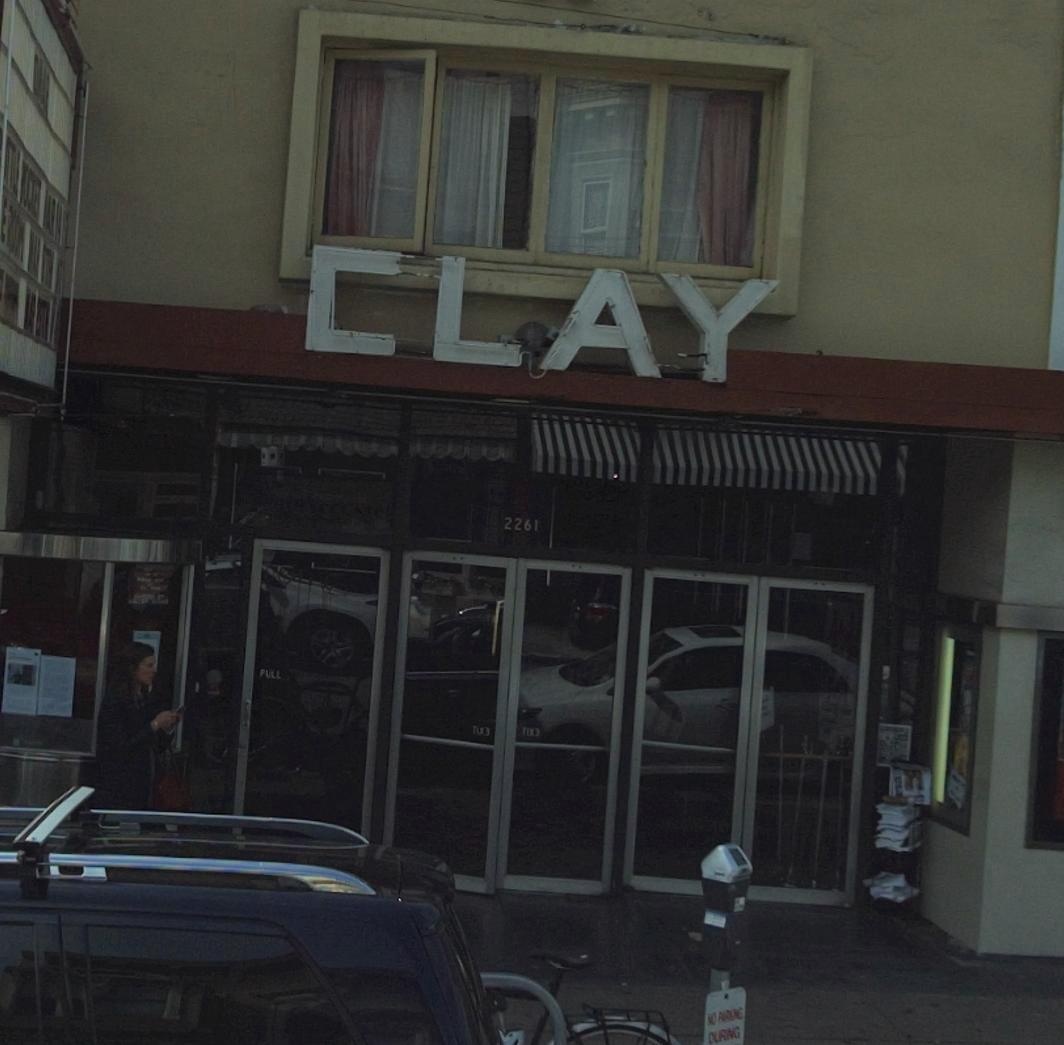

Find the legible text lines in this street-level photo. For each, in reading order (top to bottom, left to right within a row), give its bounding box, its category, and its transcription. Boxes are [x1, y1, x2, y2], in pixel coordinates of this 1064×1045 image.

[301, 238, 787, 387] BusinessName: CLAY
[502, 514, 541, 535] StreetNumber: 2261
[257, 666, 284, 681] None: PULL
[520, 724, 542, 739] None: TIX*
[704, 1003, 745, 1029] None: NO P*****G
[705, 1022, 744, 1045] None: DUR**G